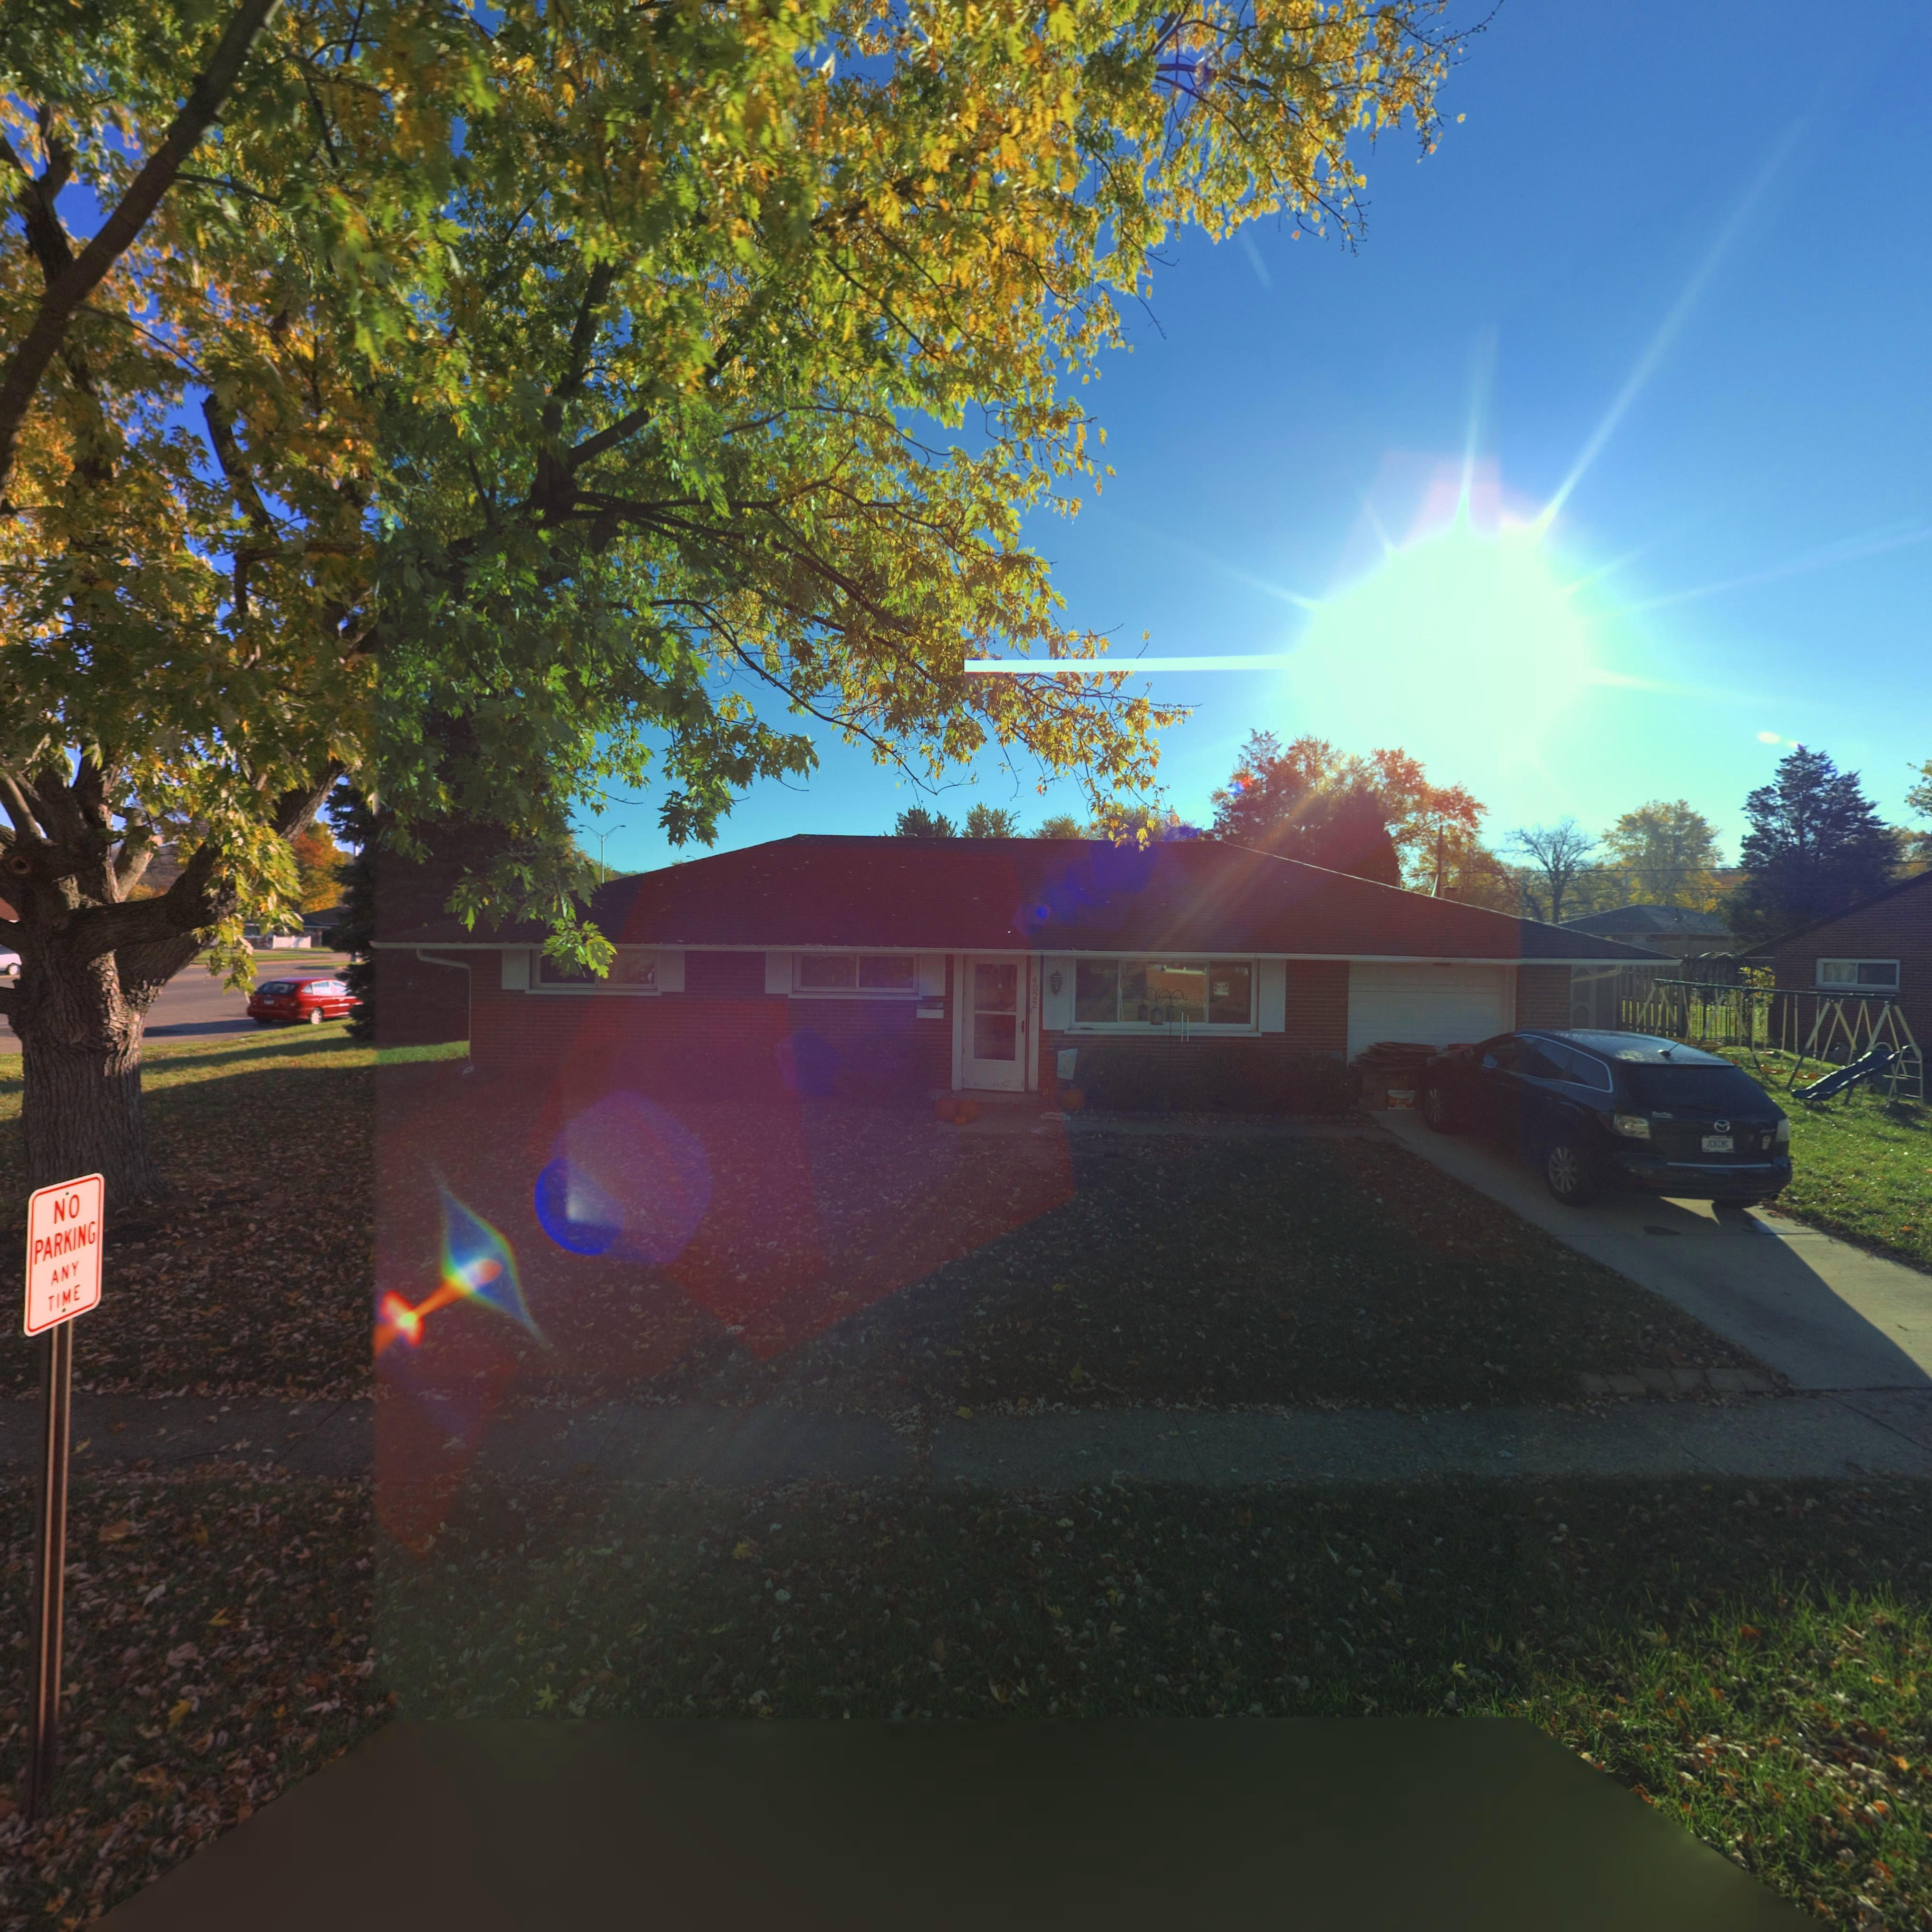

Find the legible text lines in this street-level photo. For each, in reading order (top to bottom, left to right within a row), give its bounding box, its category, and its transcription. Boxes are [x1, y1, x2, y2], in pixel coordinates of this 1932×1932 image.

[1031, 975, 1038, 1009] StreetNumber: 4022